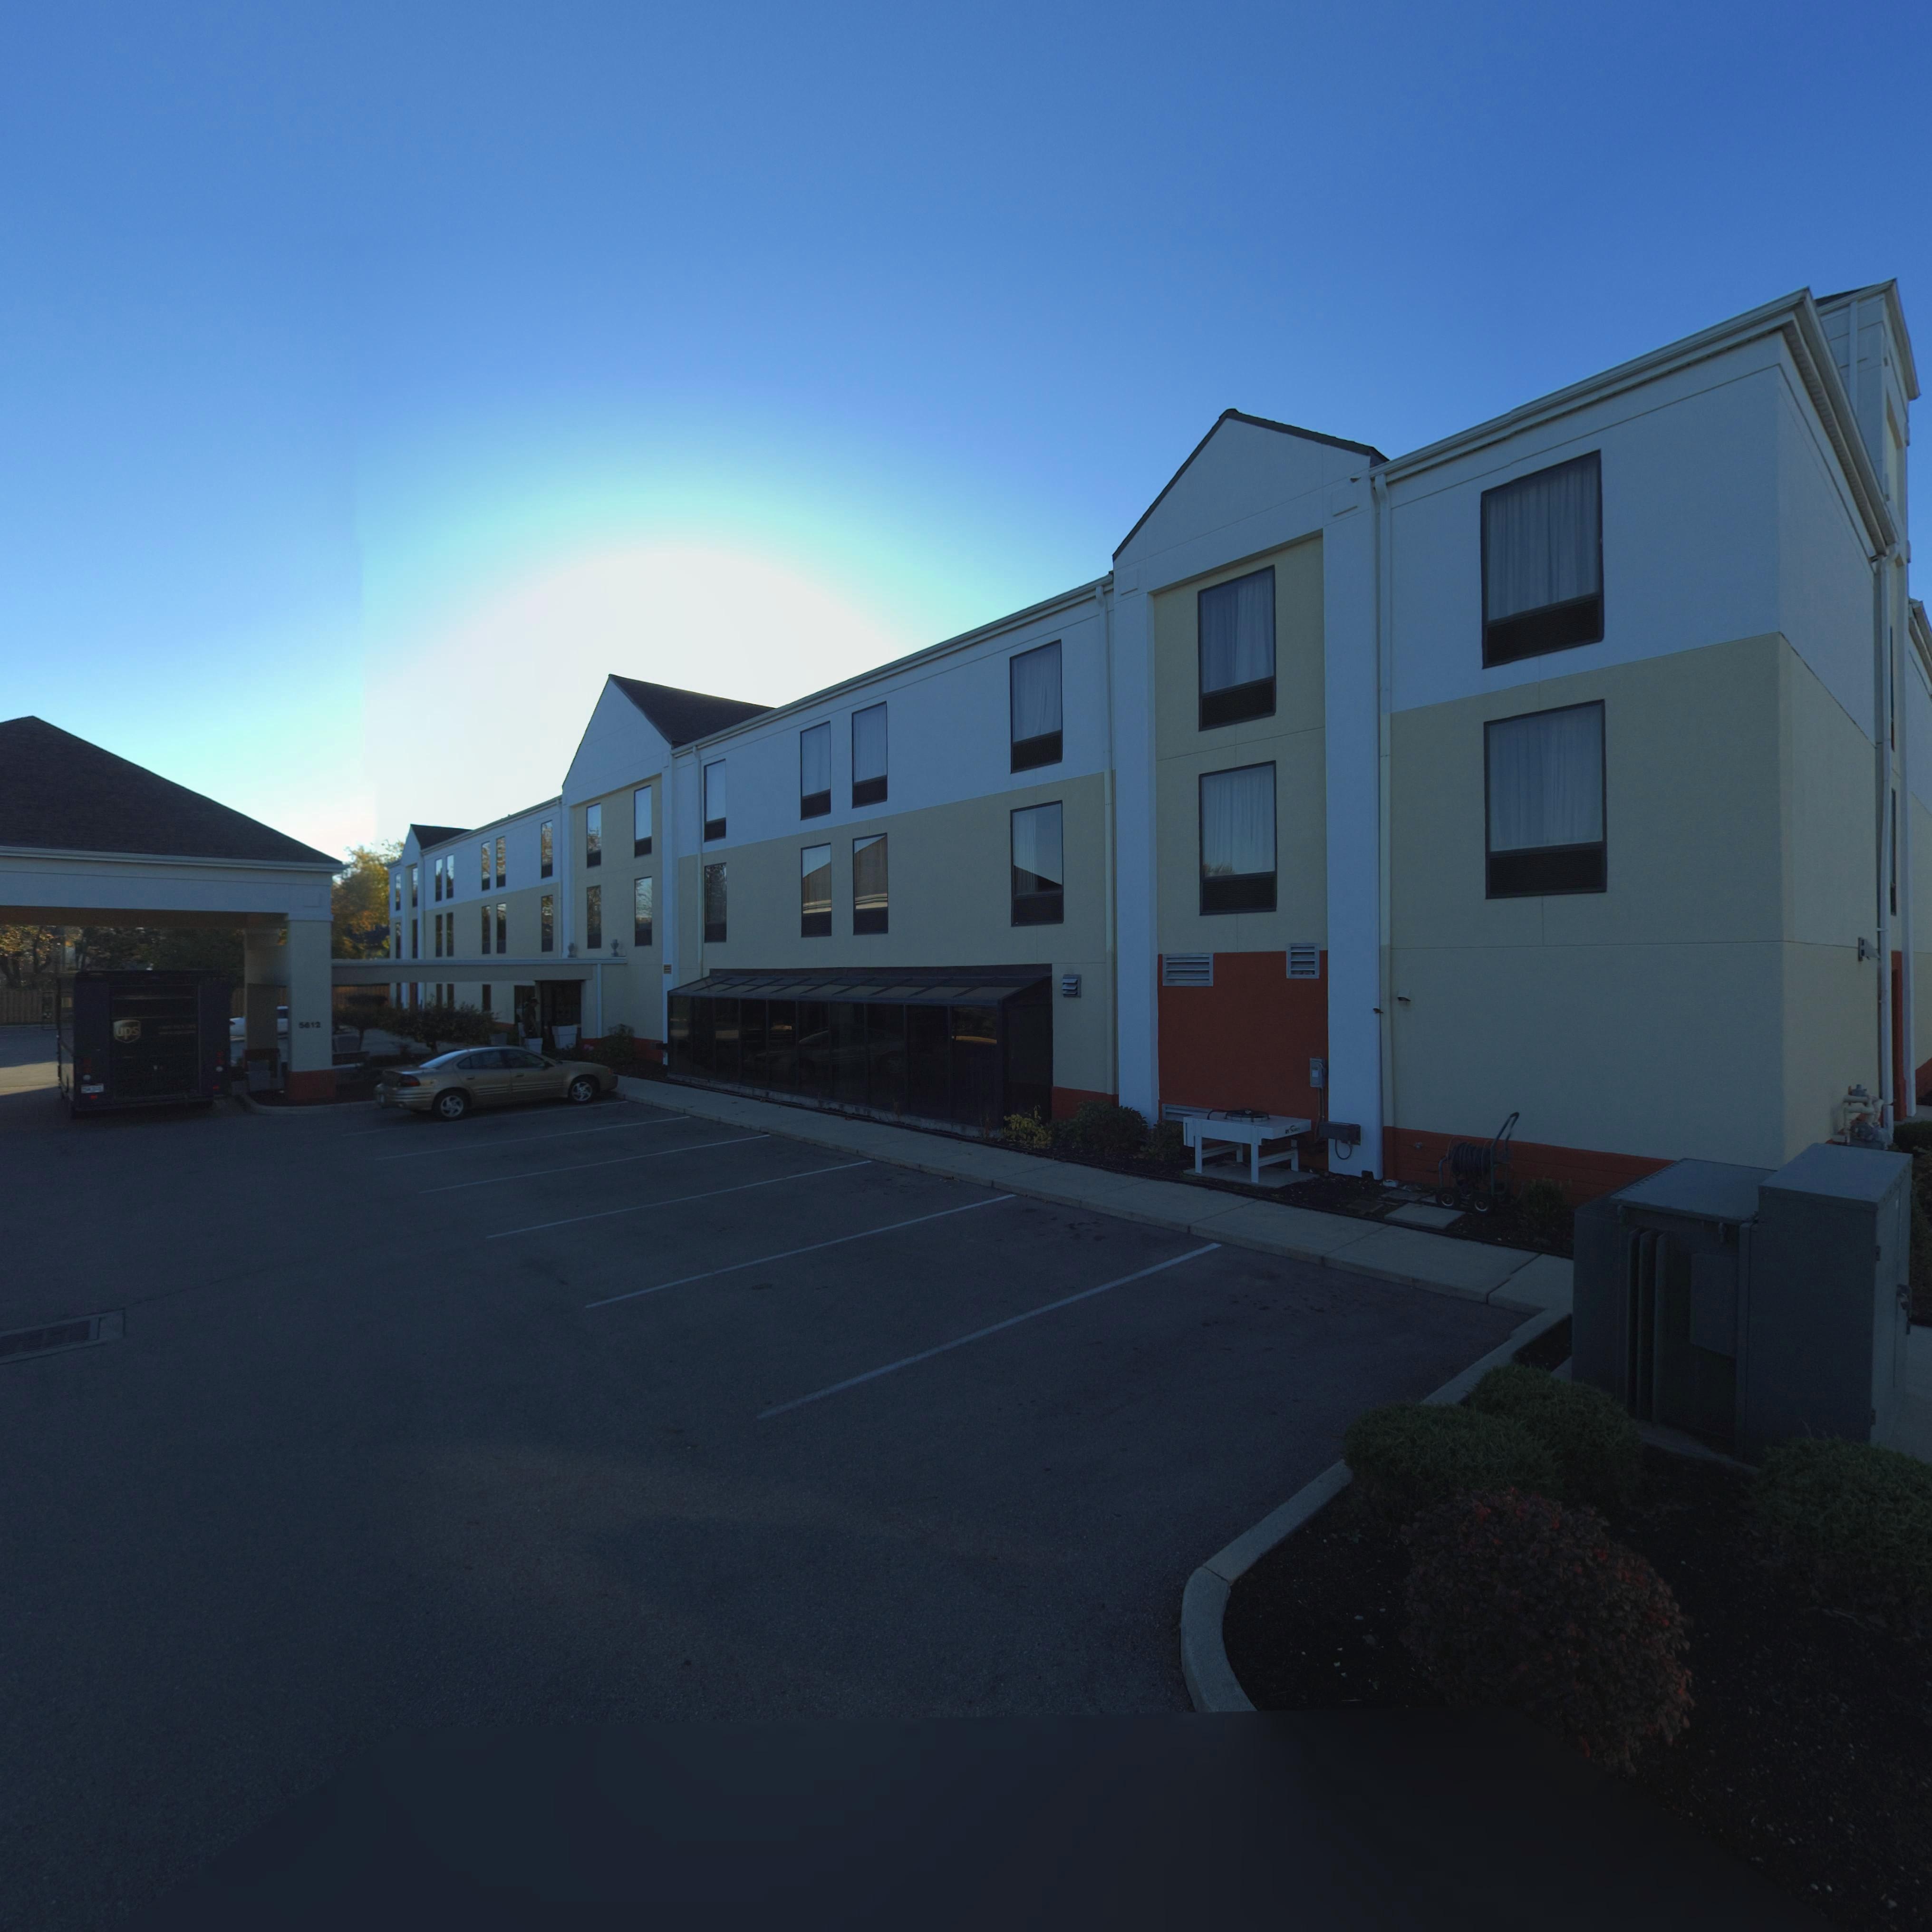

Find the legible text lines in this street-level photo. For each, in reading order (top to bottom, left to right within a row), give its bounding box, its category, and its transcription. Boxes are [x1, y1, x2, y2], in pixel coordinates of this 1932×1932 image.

[298, 1020, 322, 1030] StreetNumber: 5612